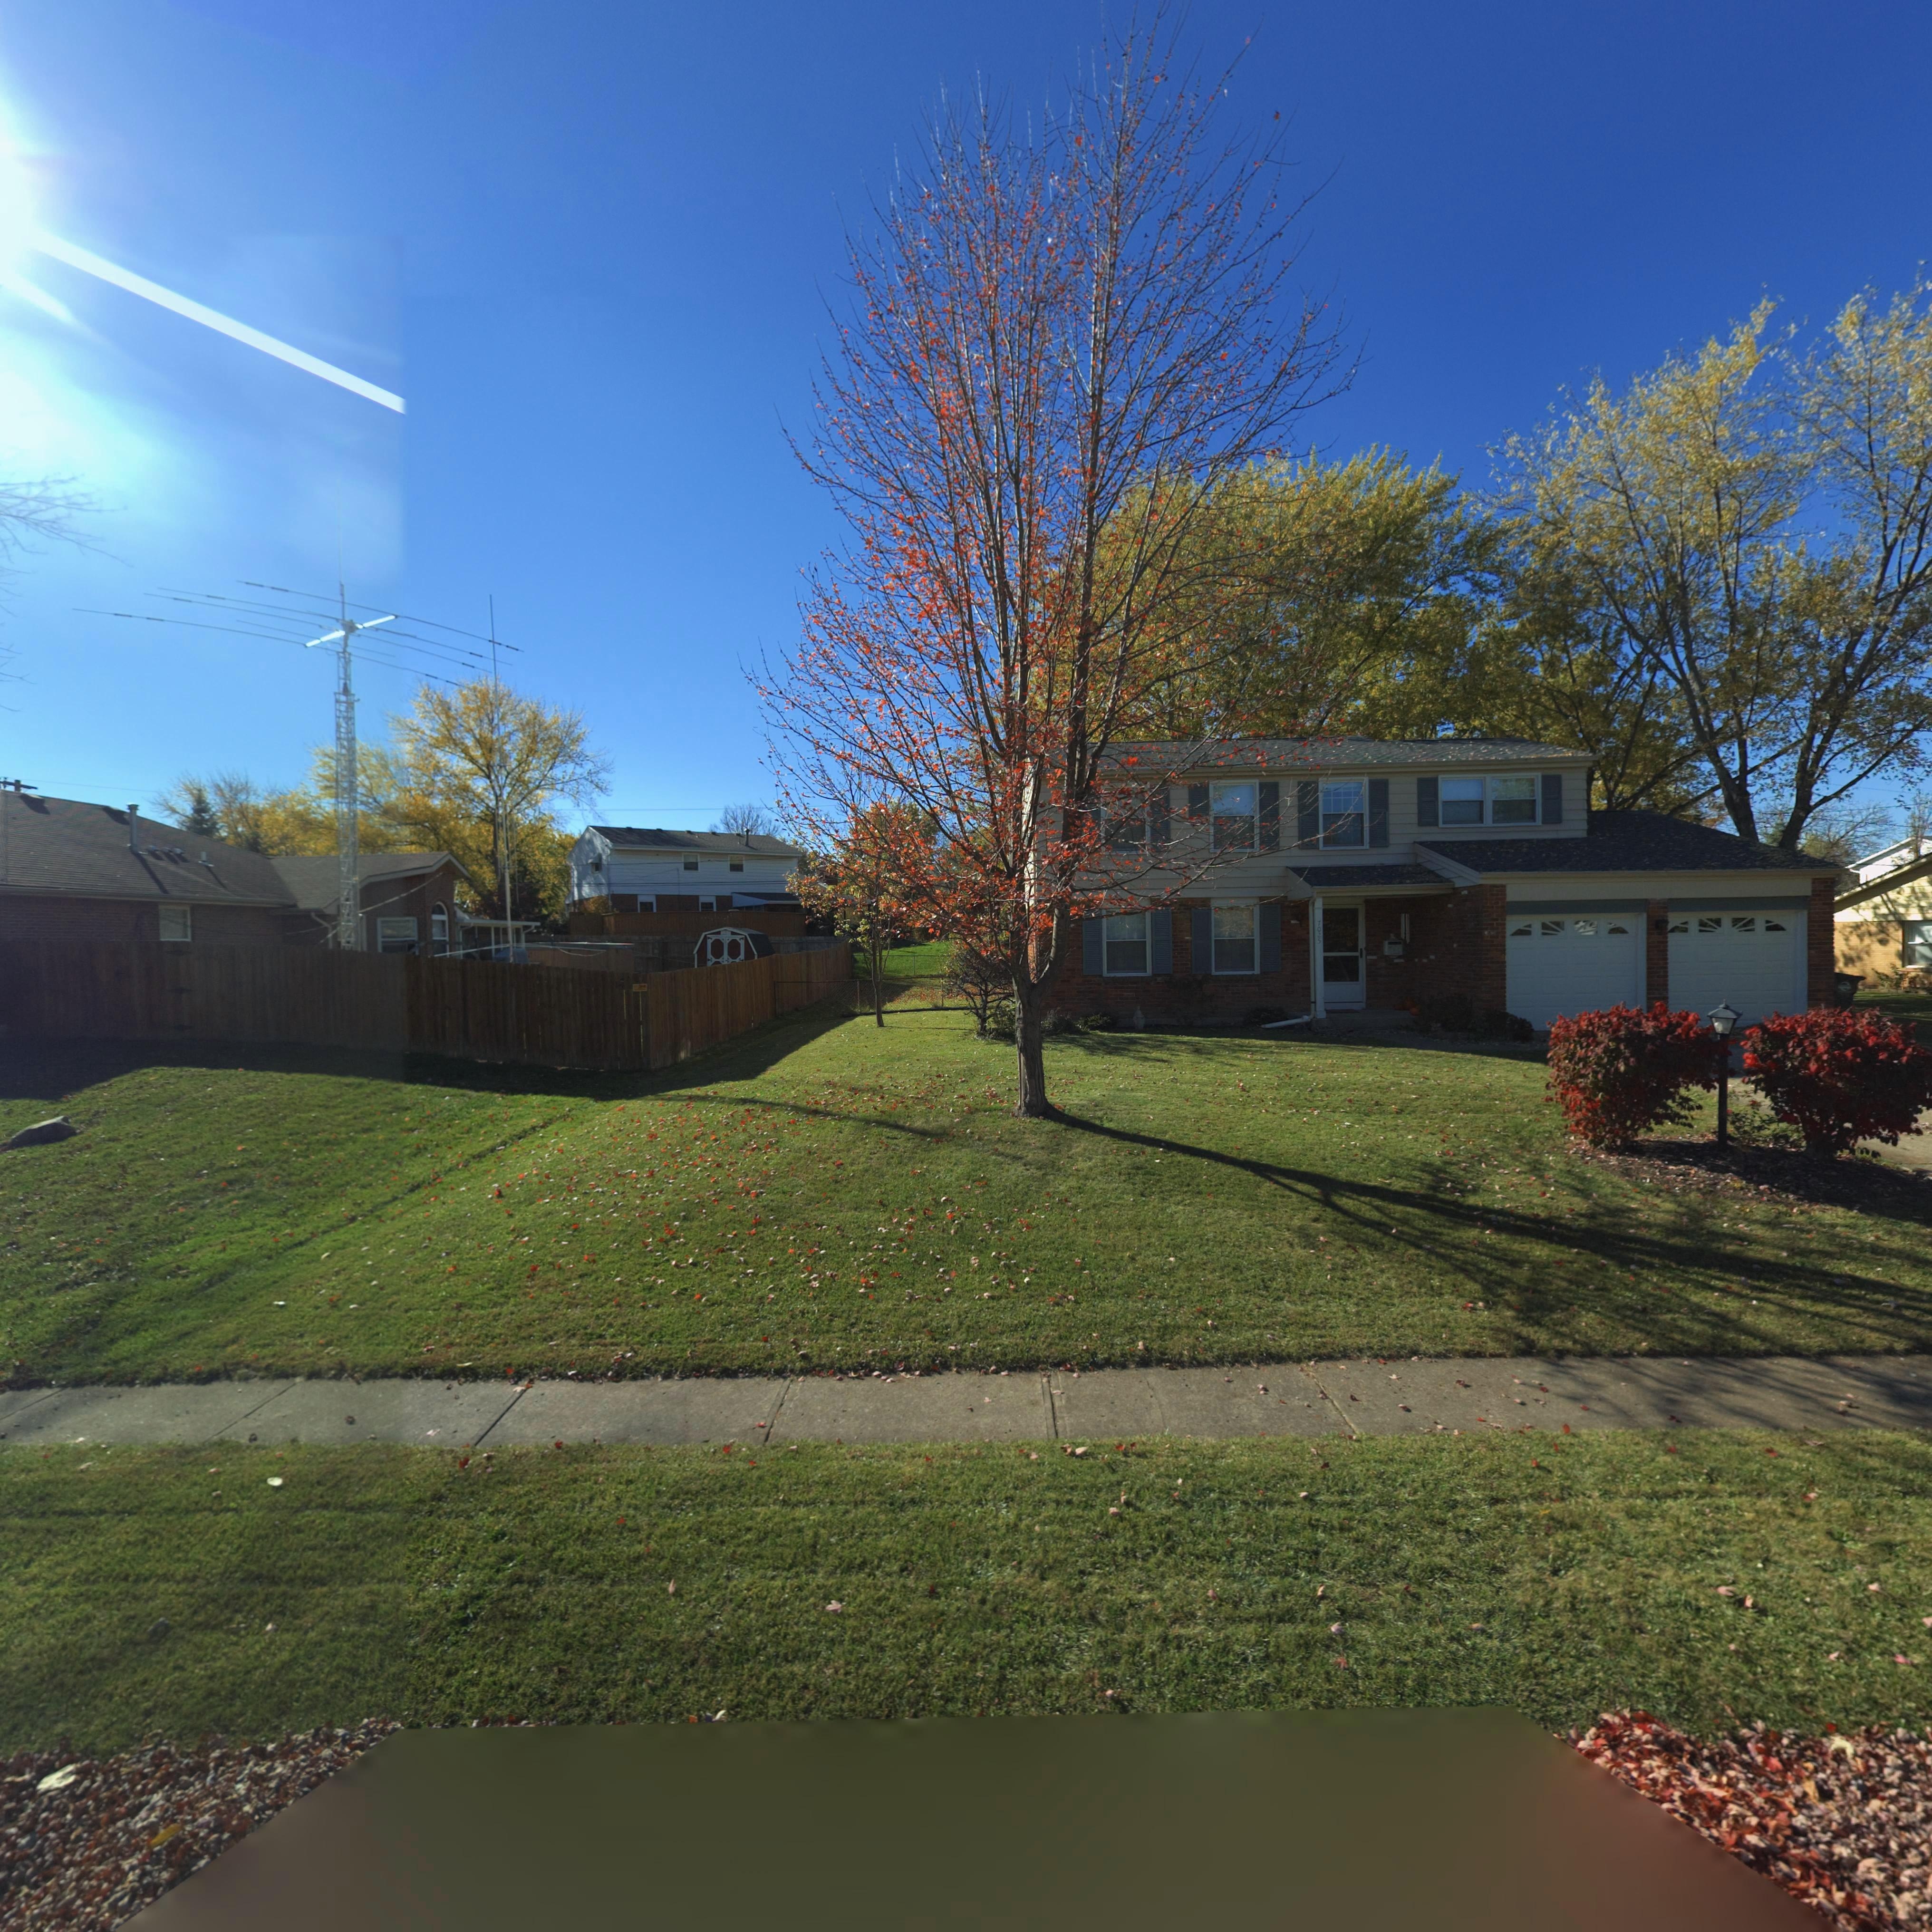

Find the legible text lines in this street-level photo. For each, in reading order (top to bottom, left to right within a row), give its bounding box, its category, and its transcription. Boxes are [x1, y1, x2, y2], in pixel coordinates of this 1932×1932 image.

[1316, 919, 1323, 945] StreetNumber: 7025